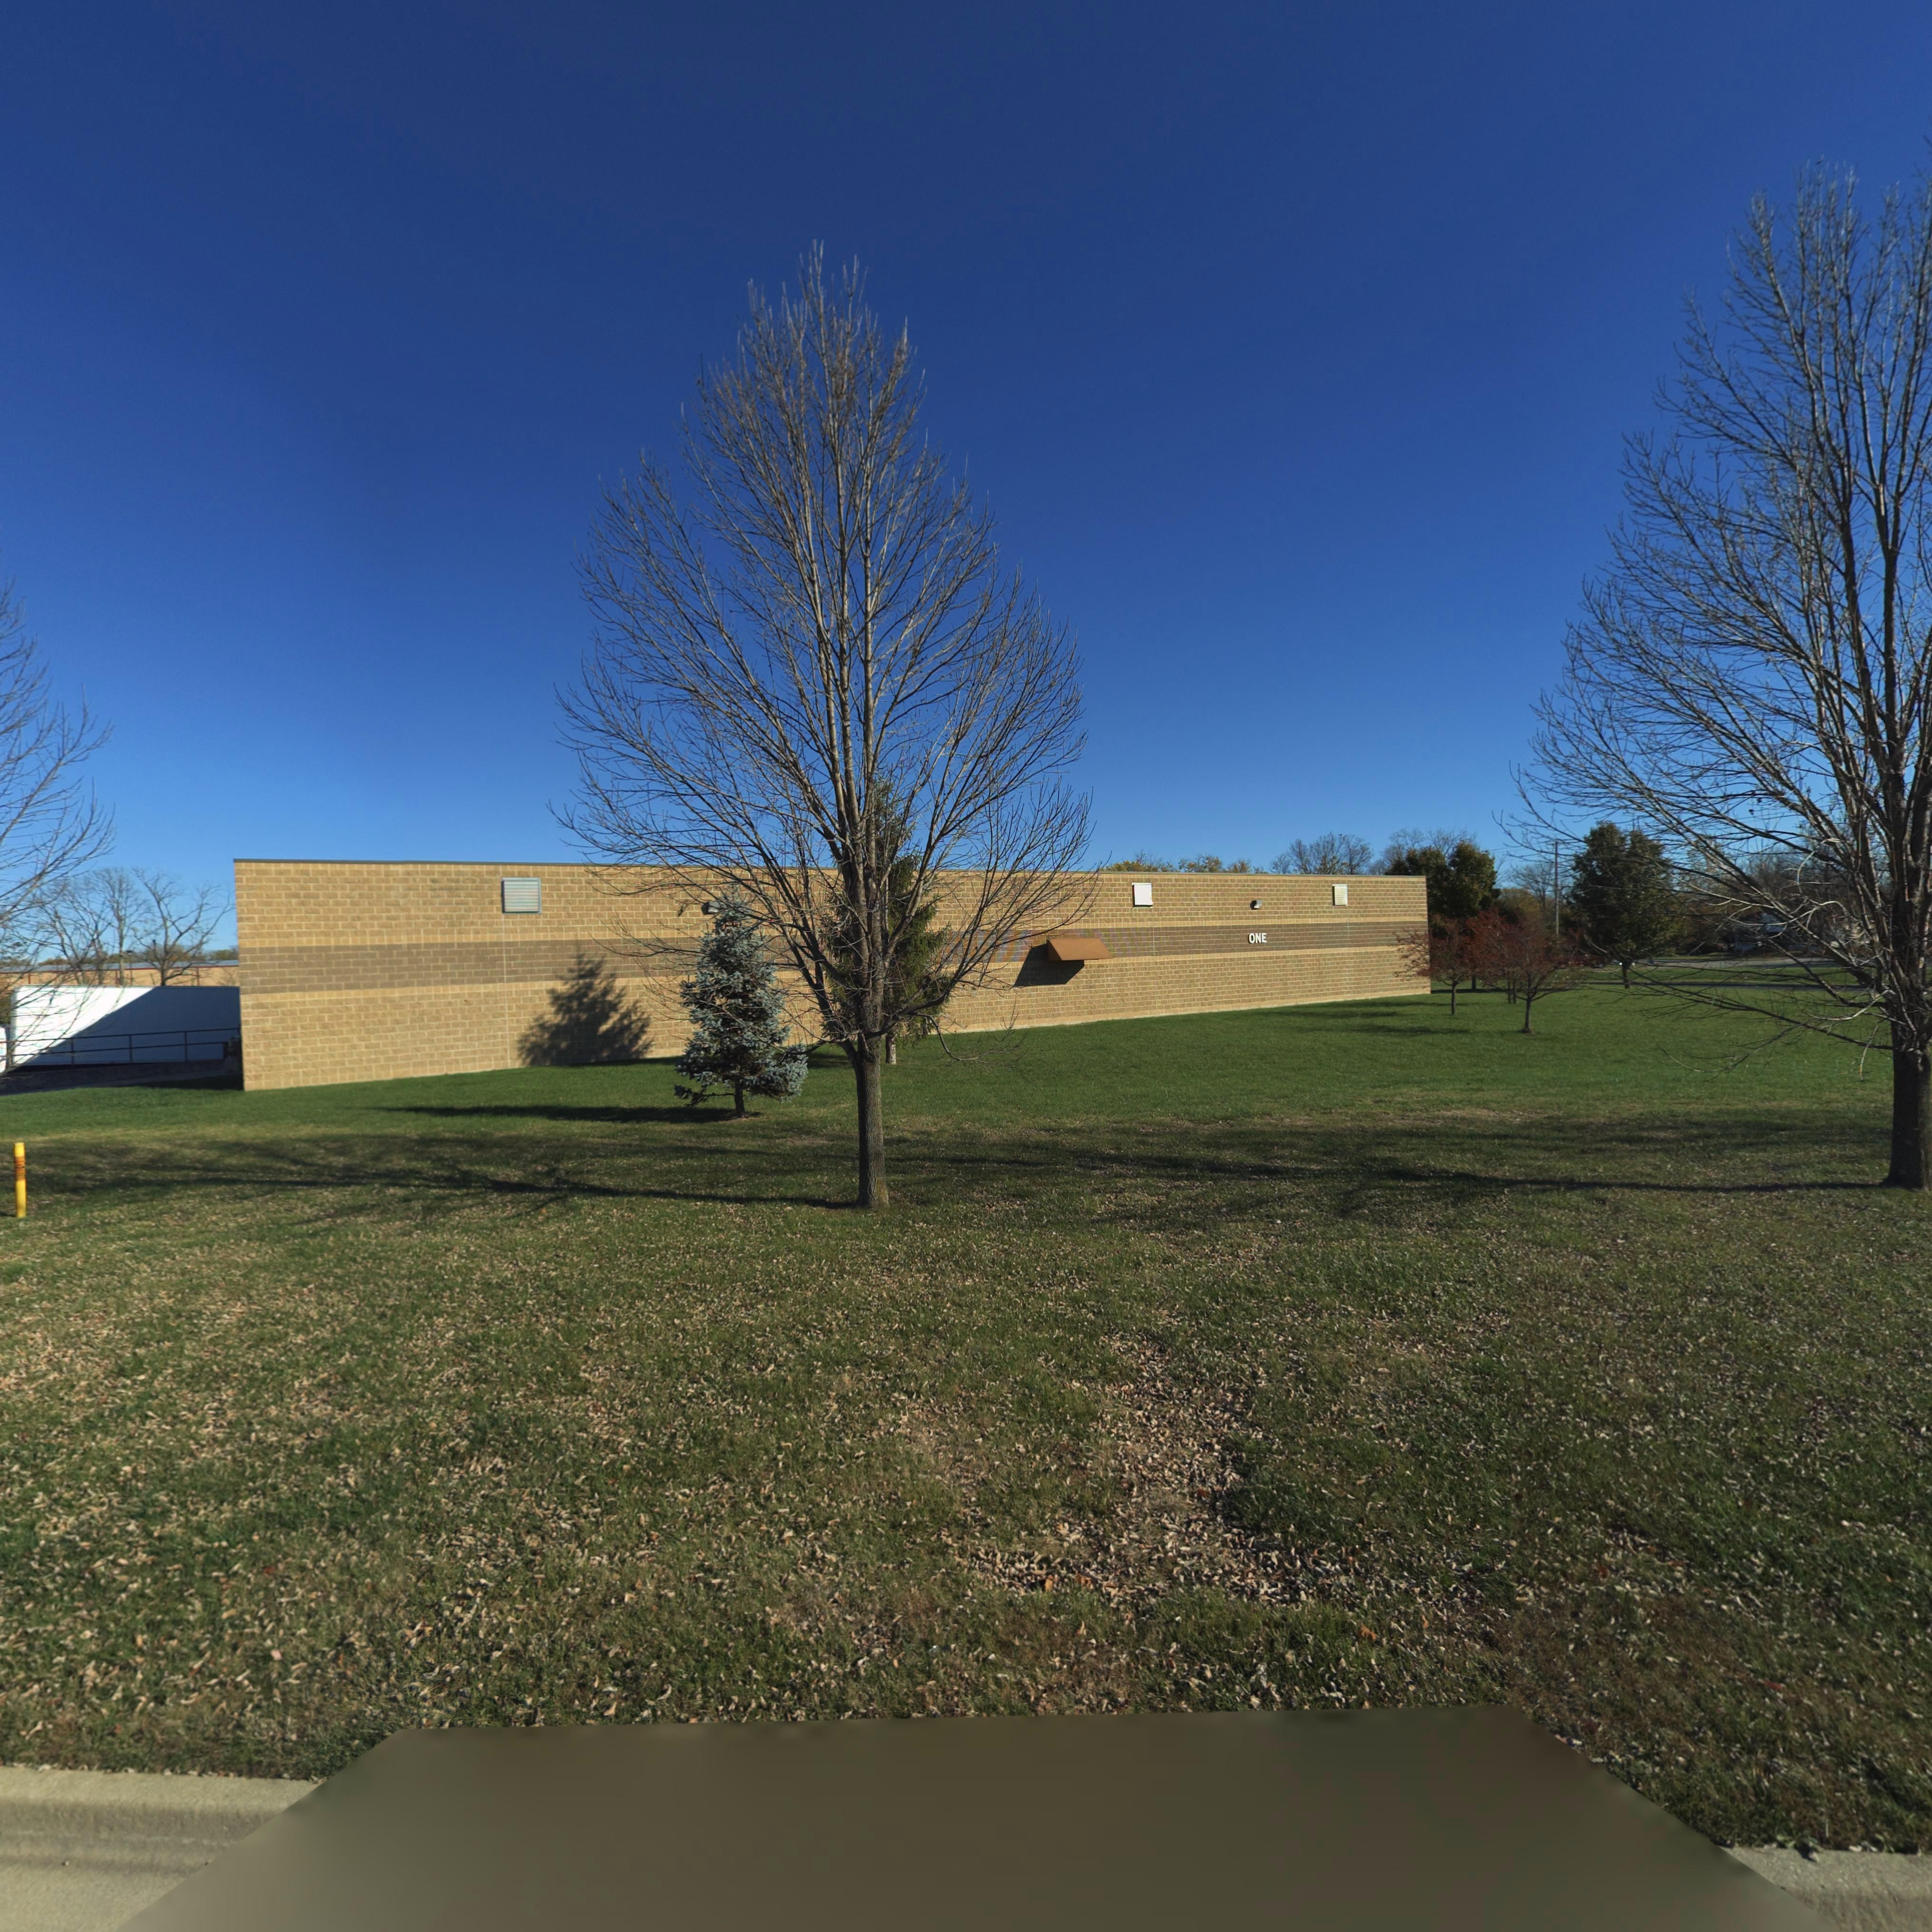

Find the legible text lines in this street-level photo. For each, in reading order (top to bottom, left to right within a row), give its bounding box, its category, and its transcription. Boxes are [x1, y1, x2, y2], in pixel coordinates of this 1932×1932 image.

[1248, 932, 1267, 944] StreetNumber: ONE